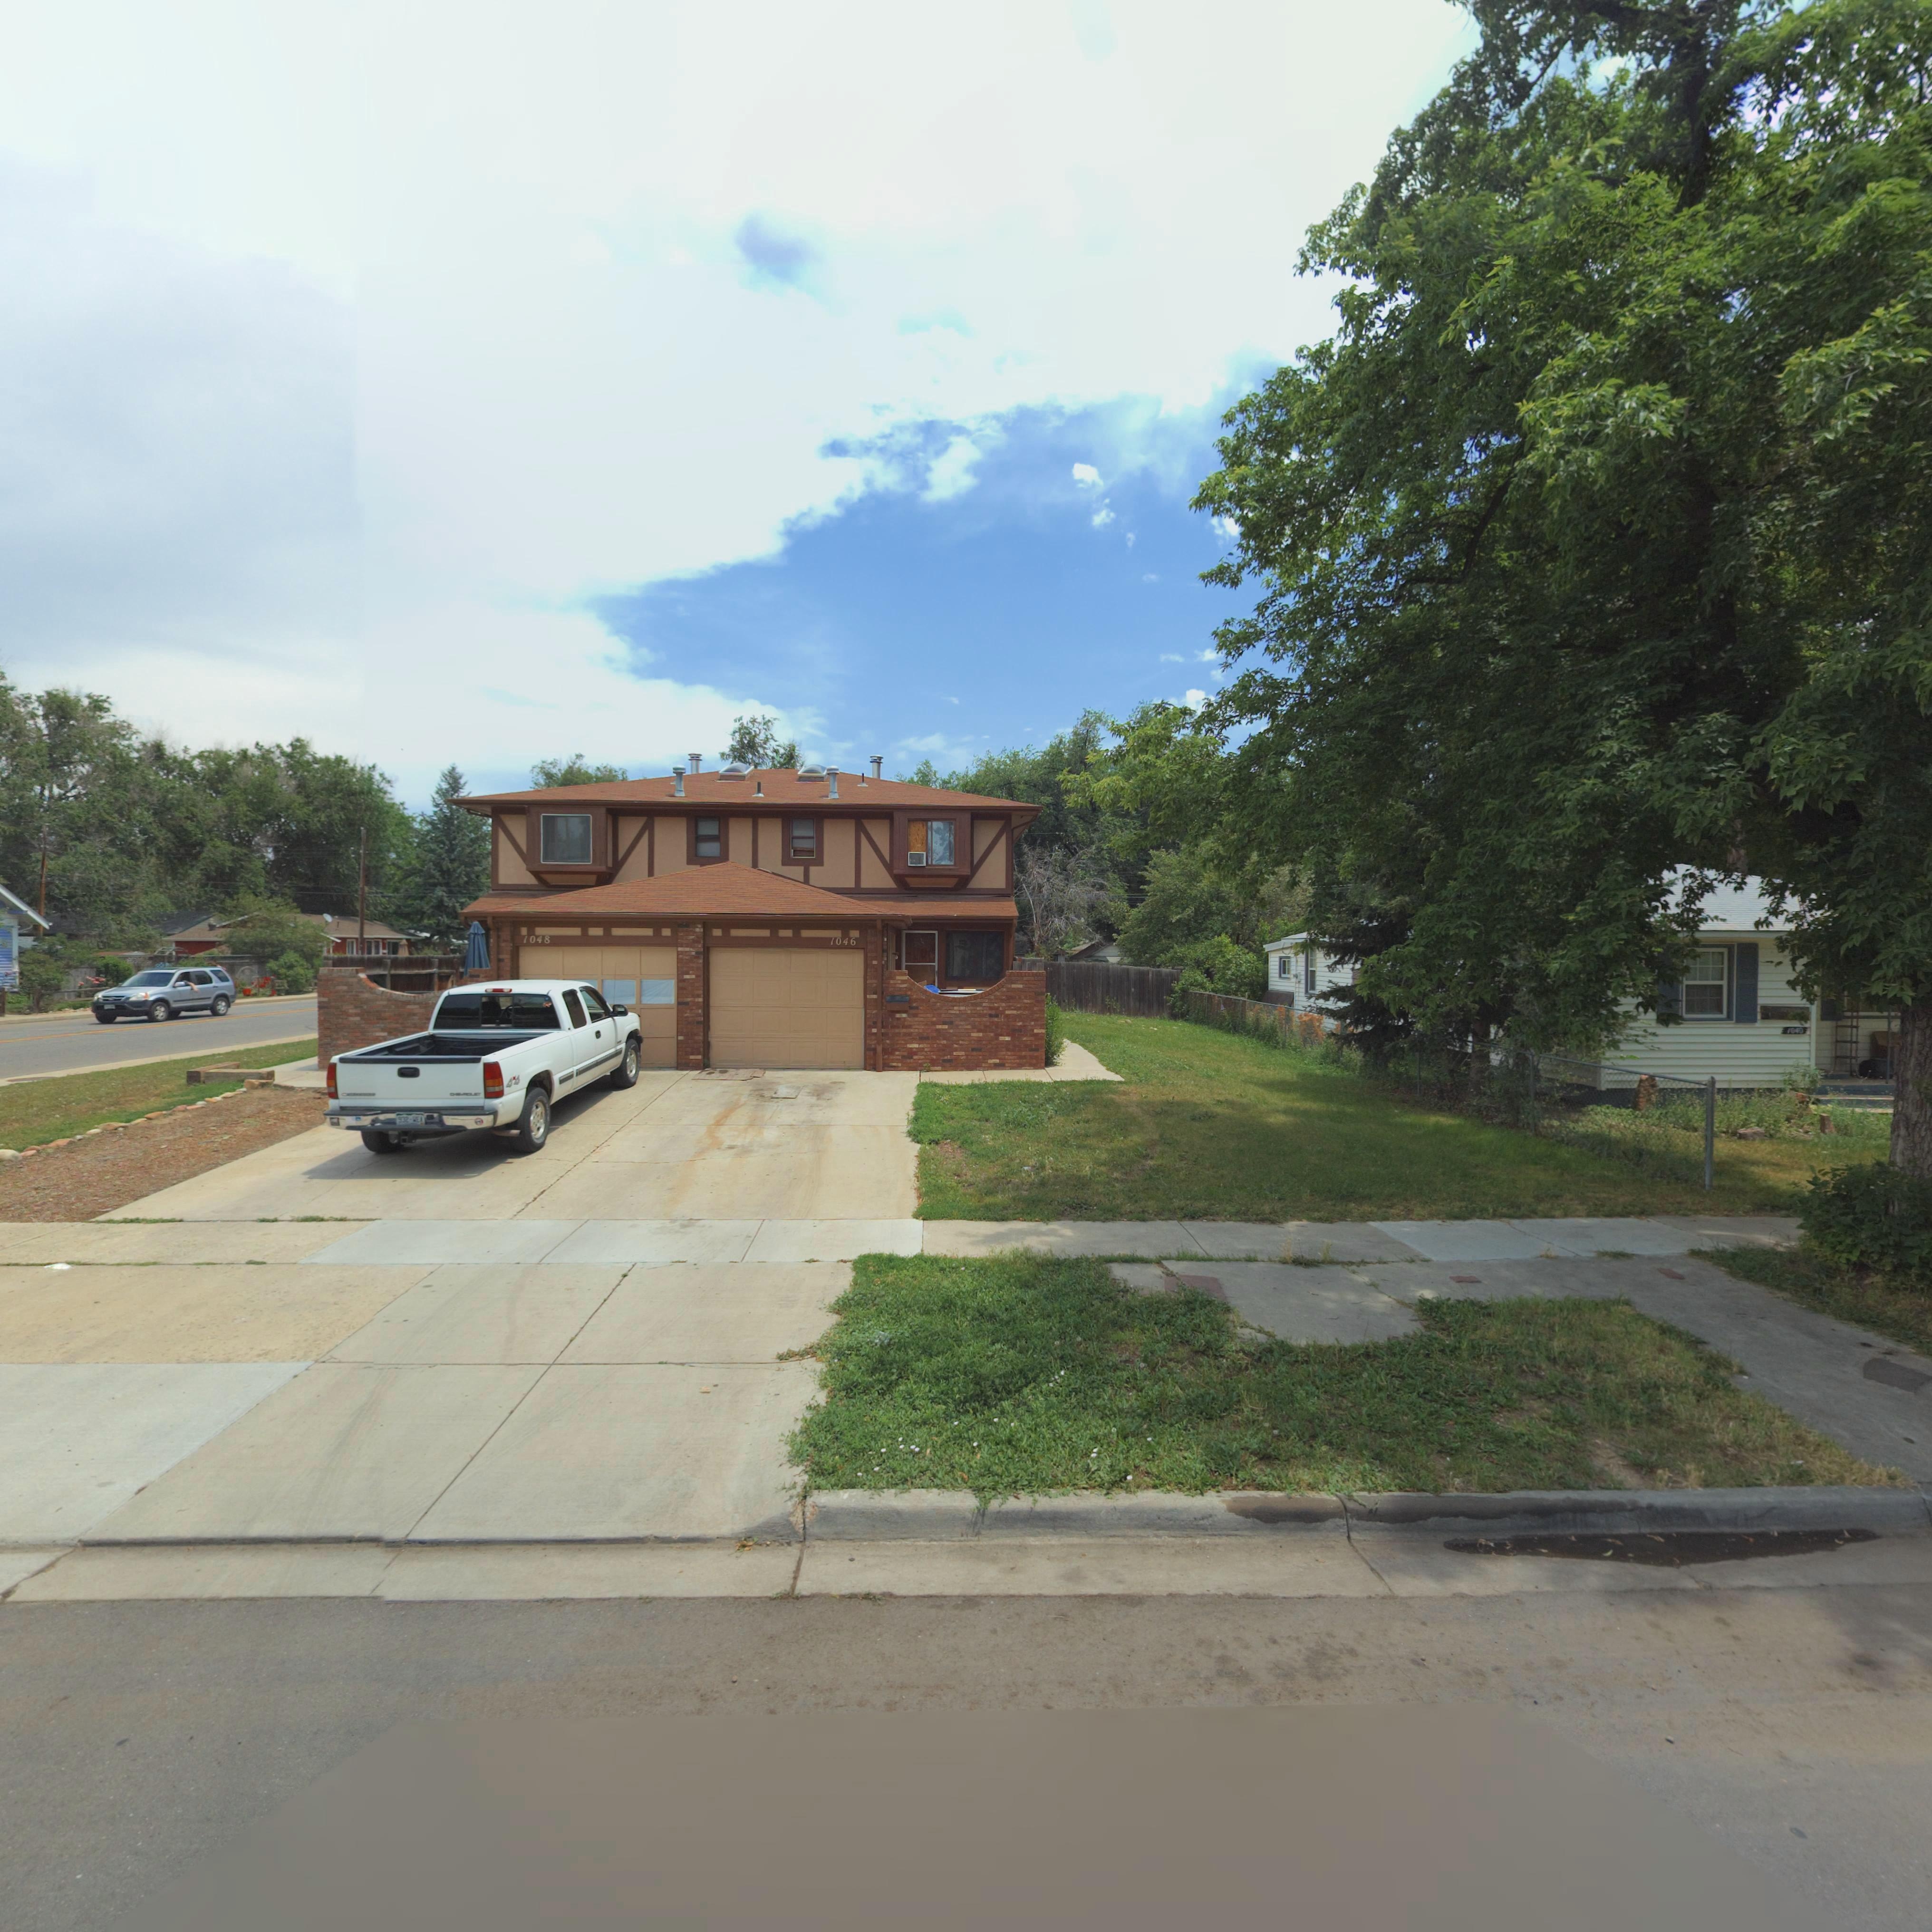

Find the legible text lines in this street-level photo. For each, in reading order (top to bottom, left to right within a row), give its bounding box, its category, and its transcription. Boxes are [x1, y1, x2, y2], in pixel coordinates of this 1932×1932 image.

[522, 935, 551, 944] StreetNumber: 1048
[831, 937, 856, 946] StreetNumber: 1046
[1787, 1027, 1803, 1034] StreetNumber: 1040